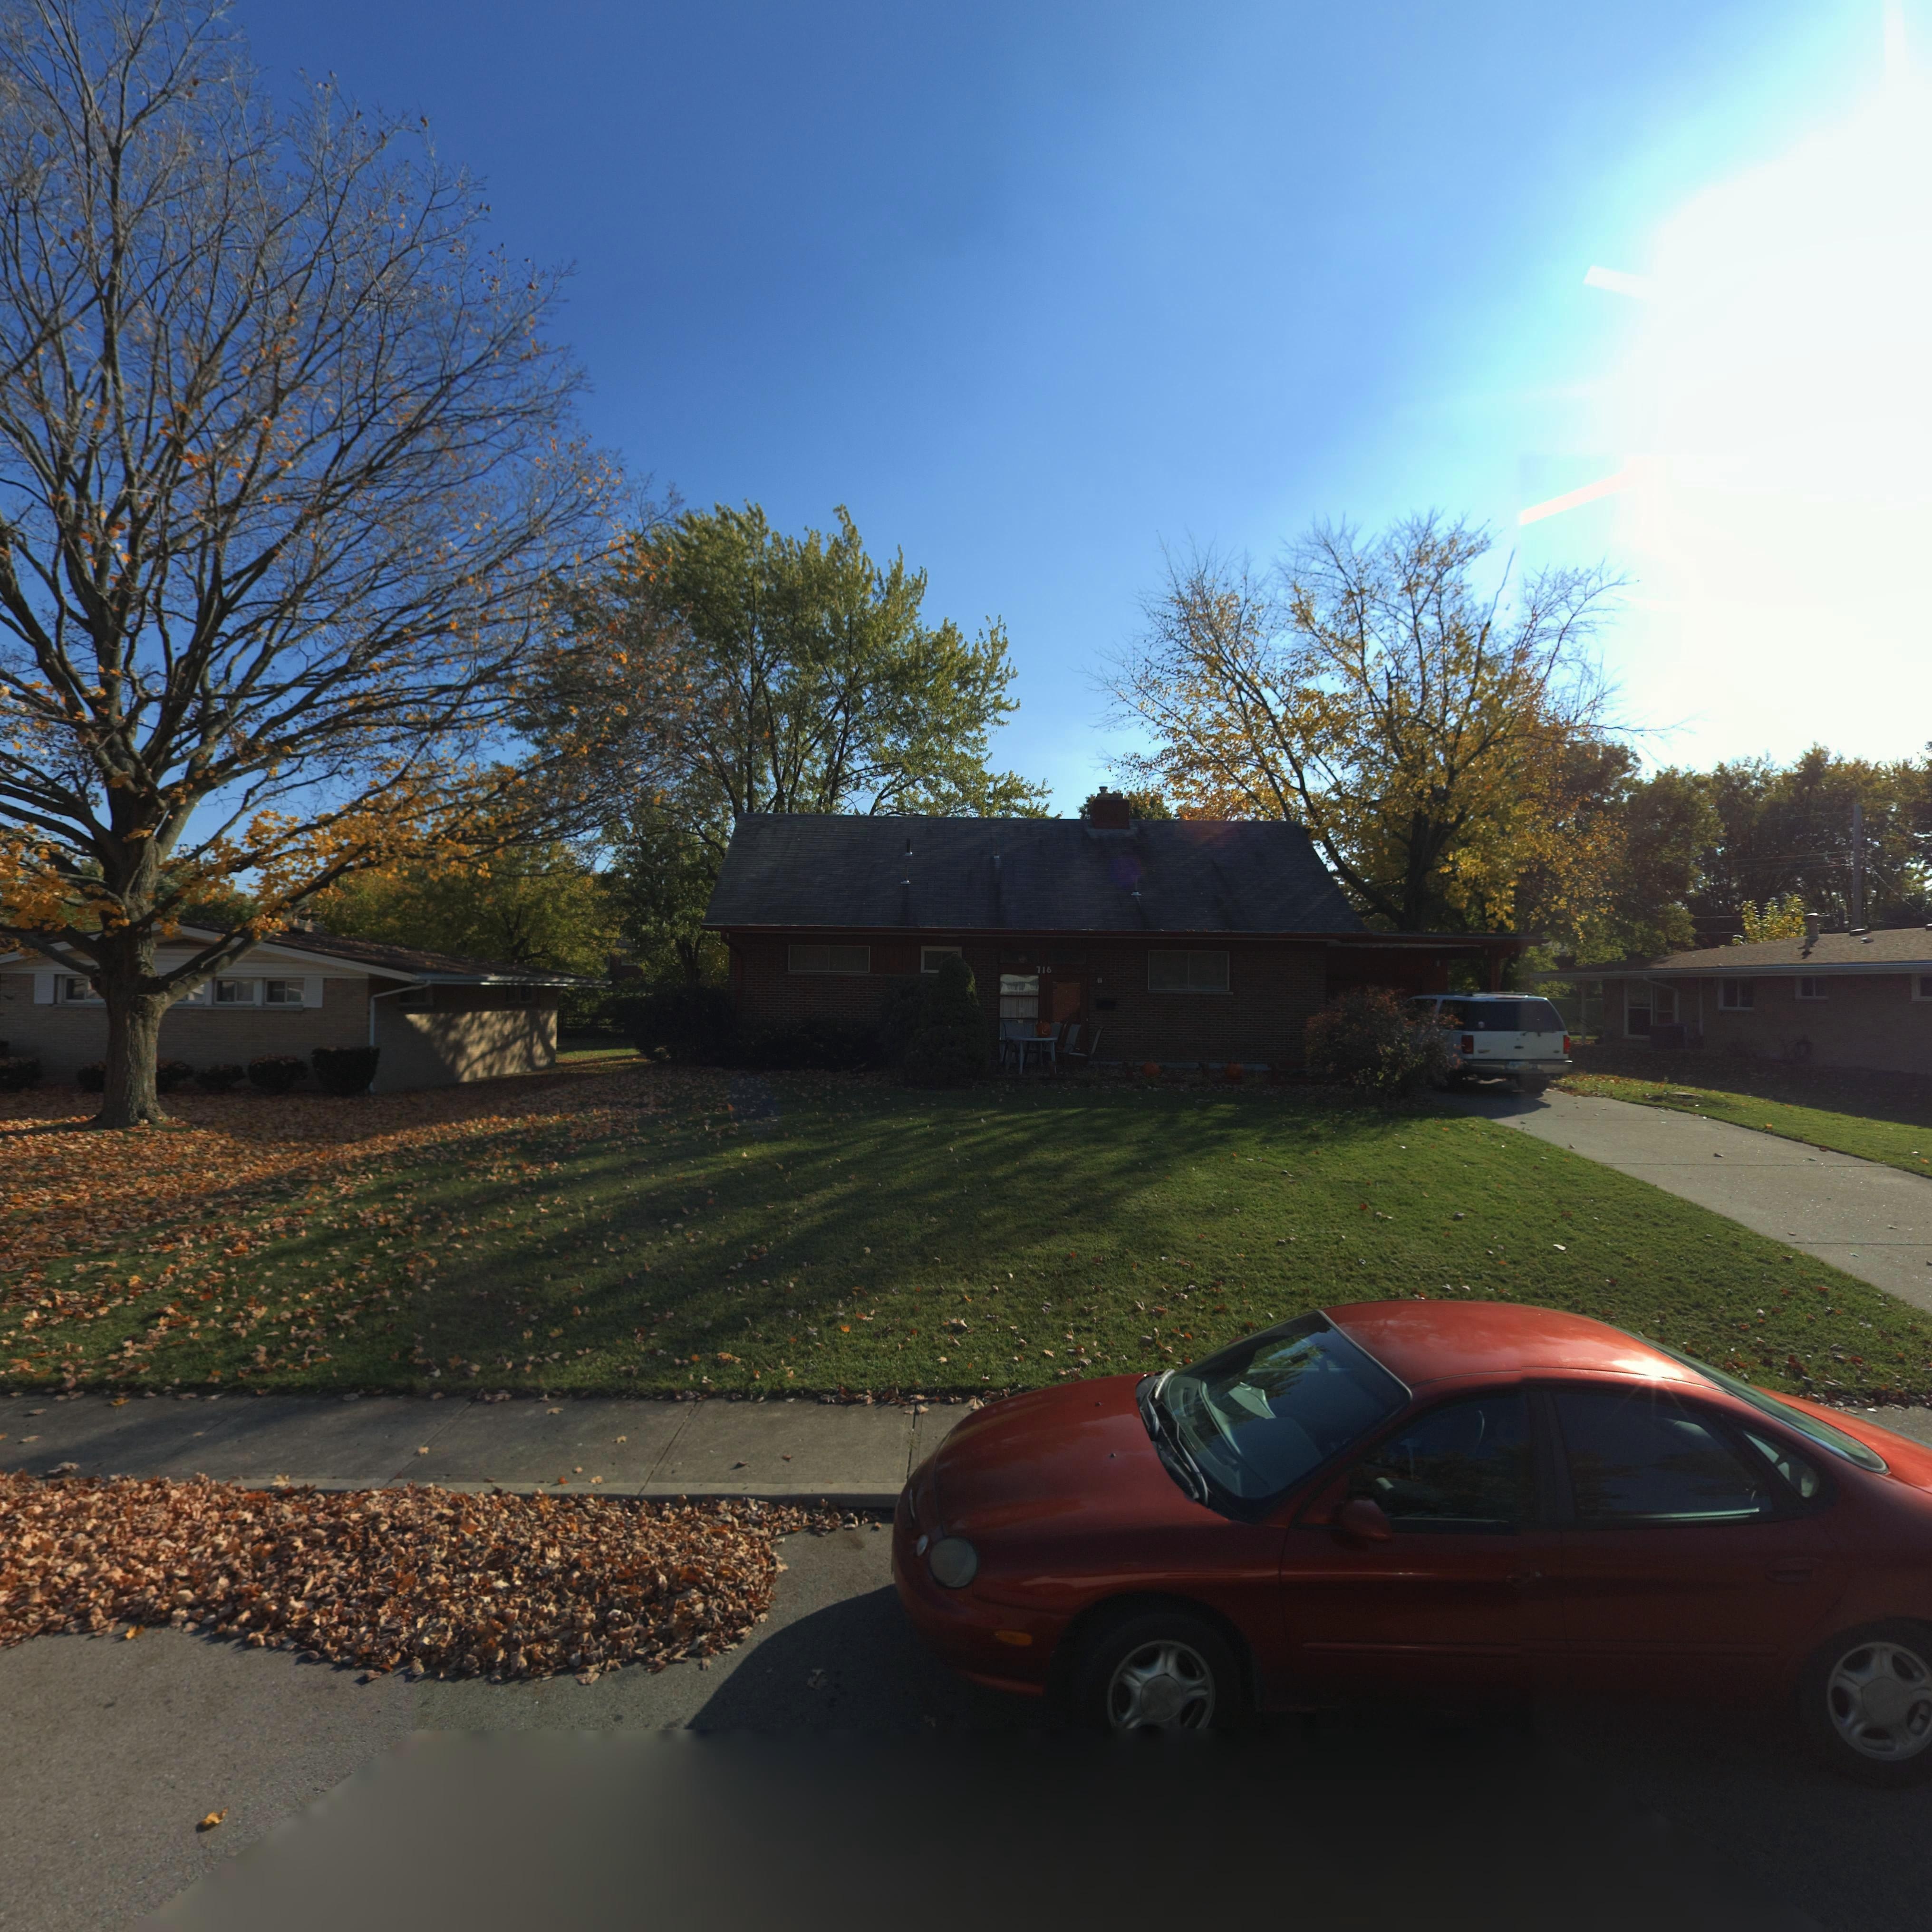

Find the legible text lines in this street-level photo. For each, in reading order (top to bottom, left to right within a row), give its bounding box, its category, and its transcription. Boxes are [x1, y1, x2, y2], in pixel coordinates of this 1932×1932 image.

[1036, 965, 1053, 974] StreetNumber: 716